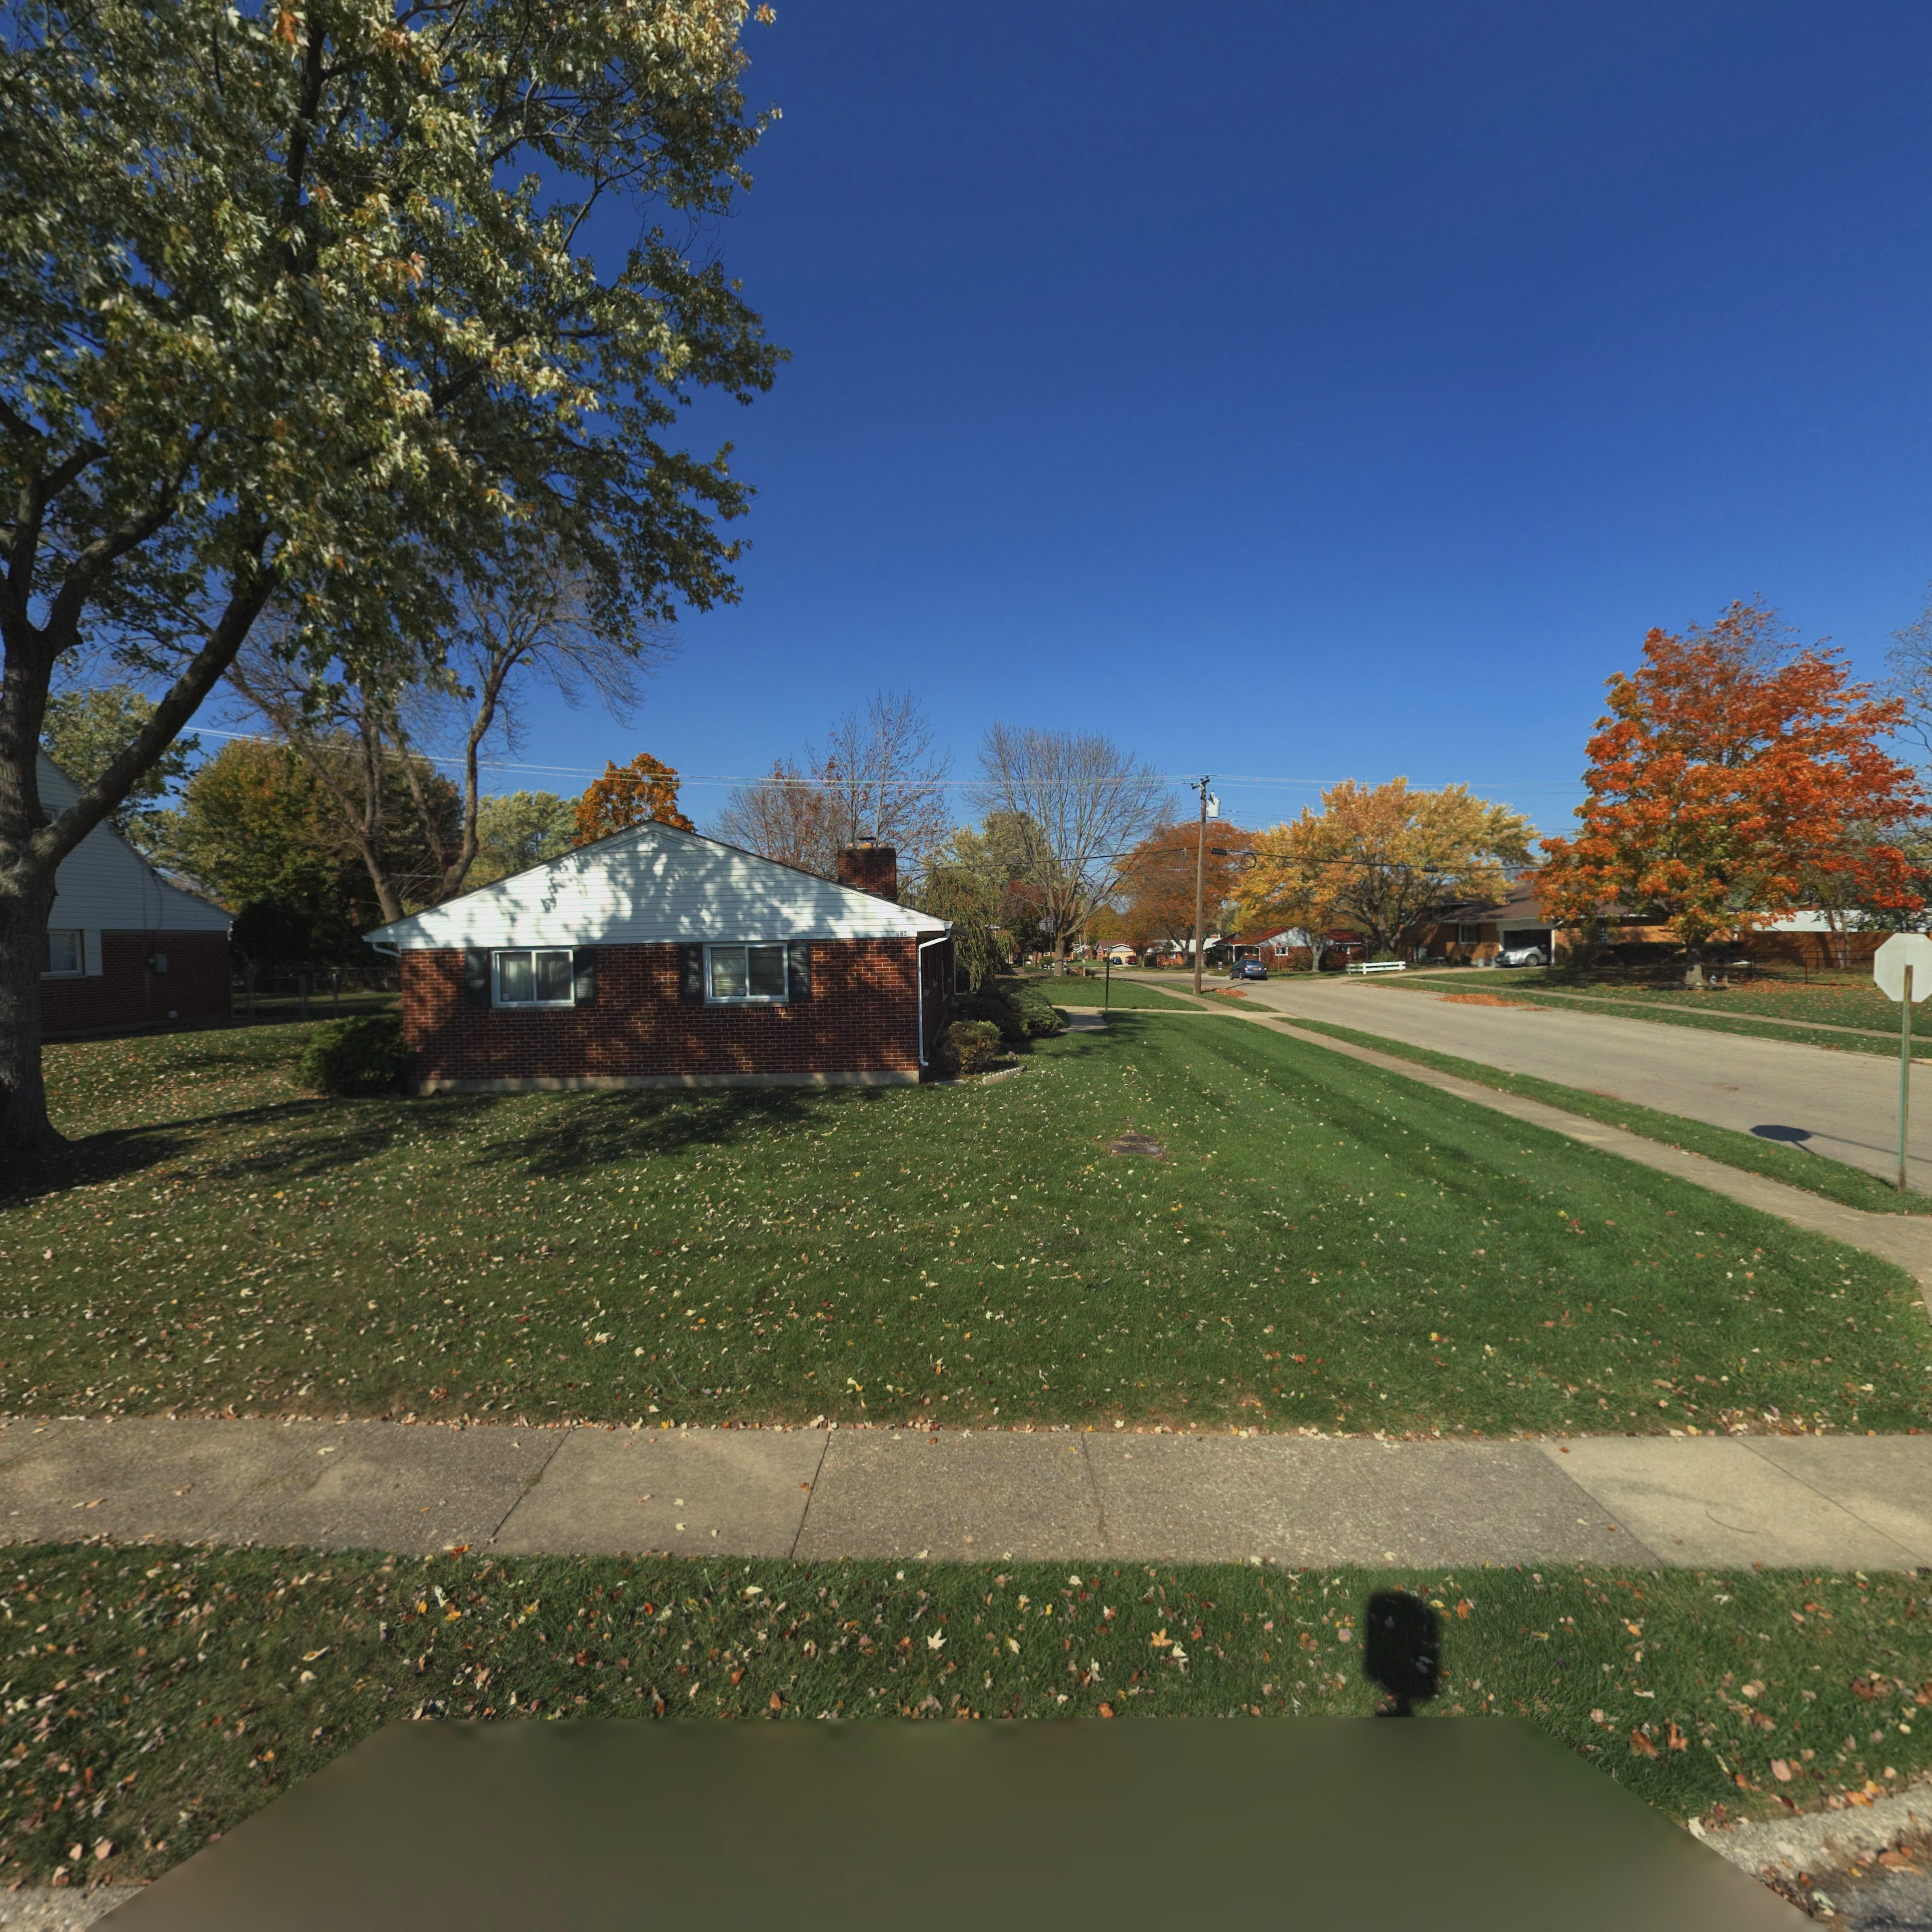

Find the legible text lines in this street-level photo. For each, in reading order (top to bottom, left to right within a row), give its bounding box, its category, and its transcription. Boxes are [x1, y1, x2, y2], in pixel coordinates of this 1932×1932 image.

[894, 929, 908, 938] StreetNumber: 983